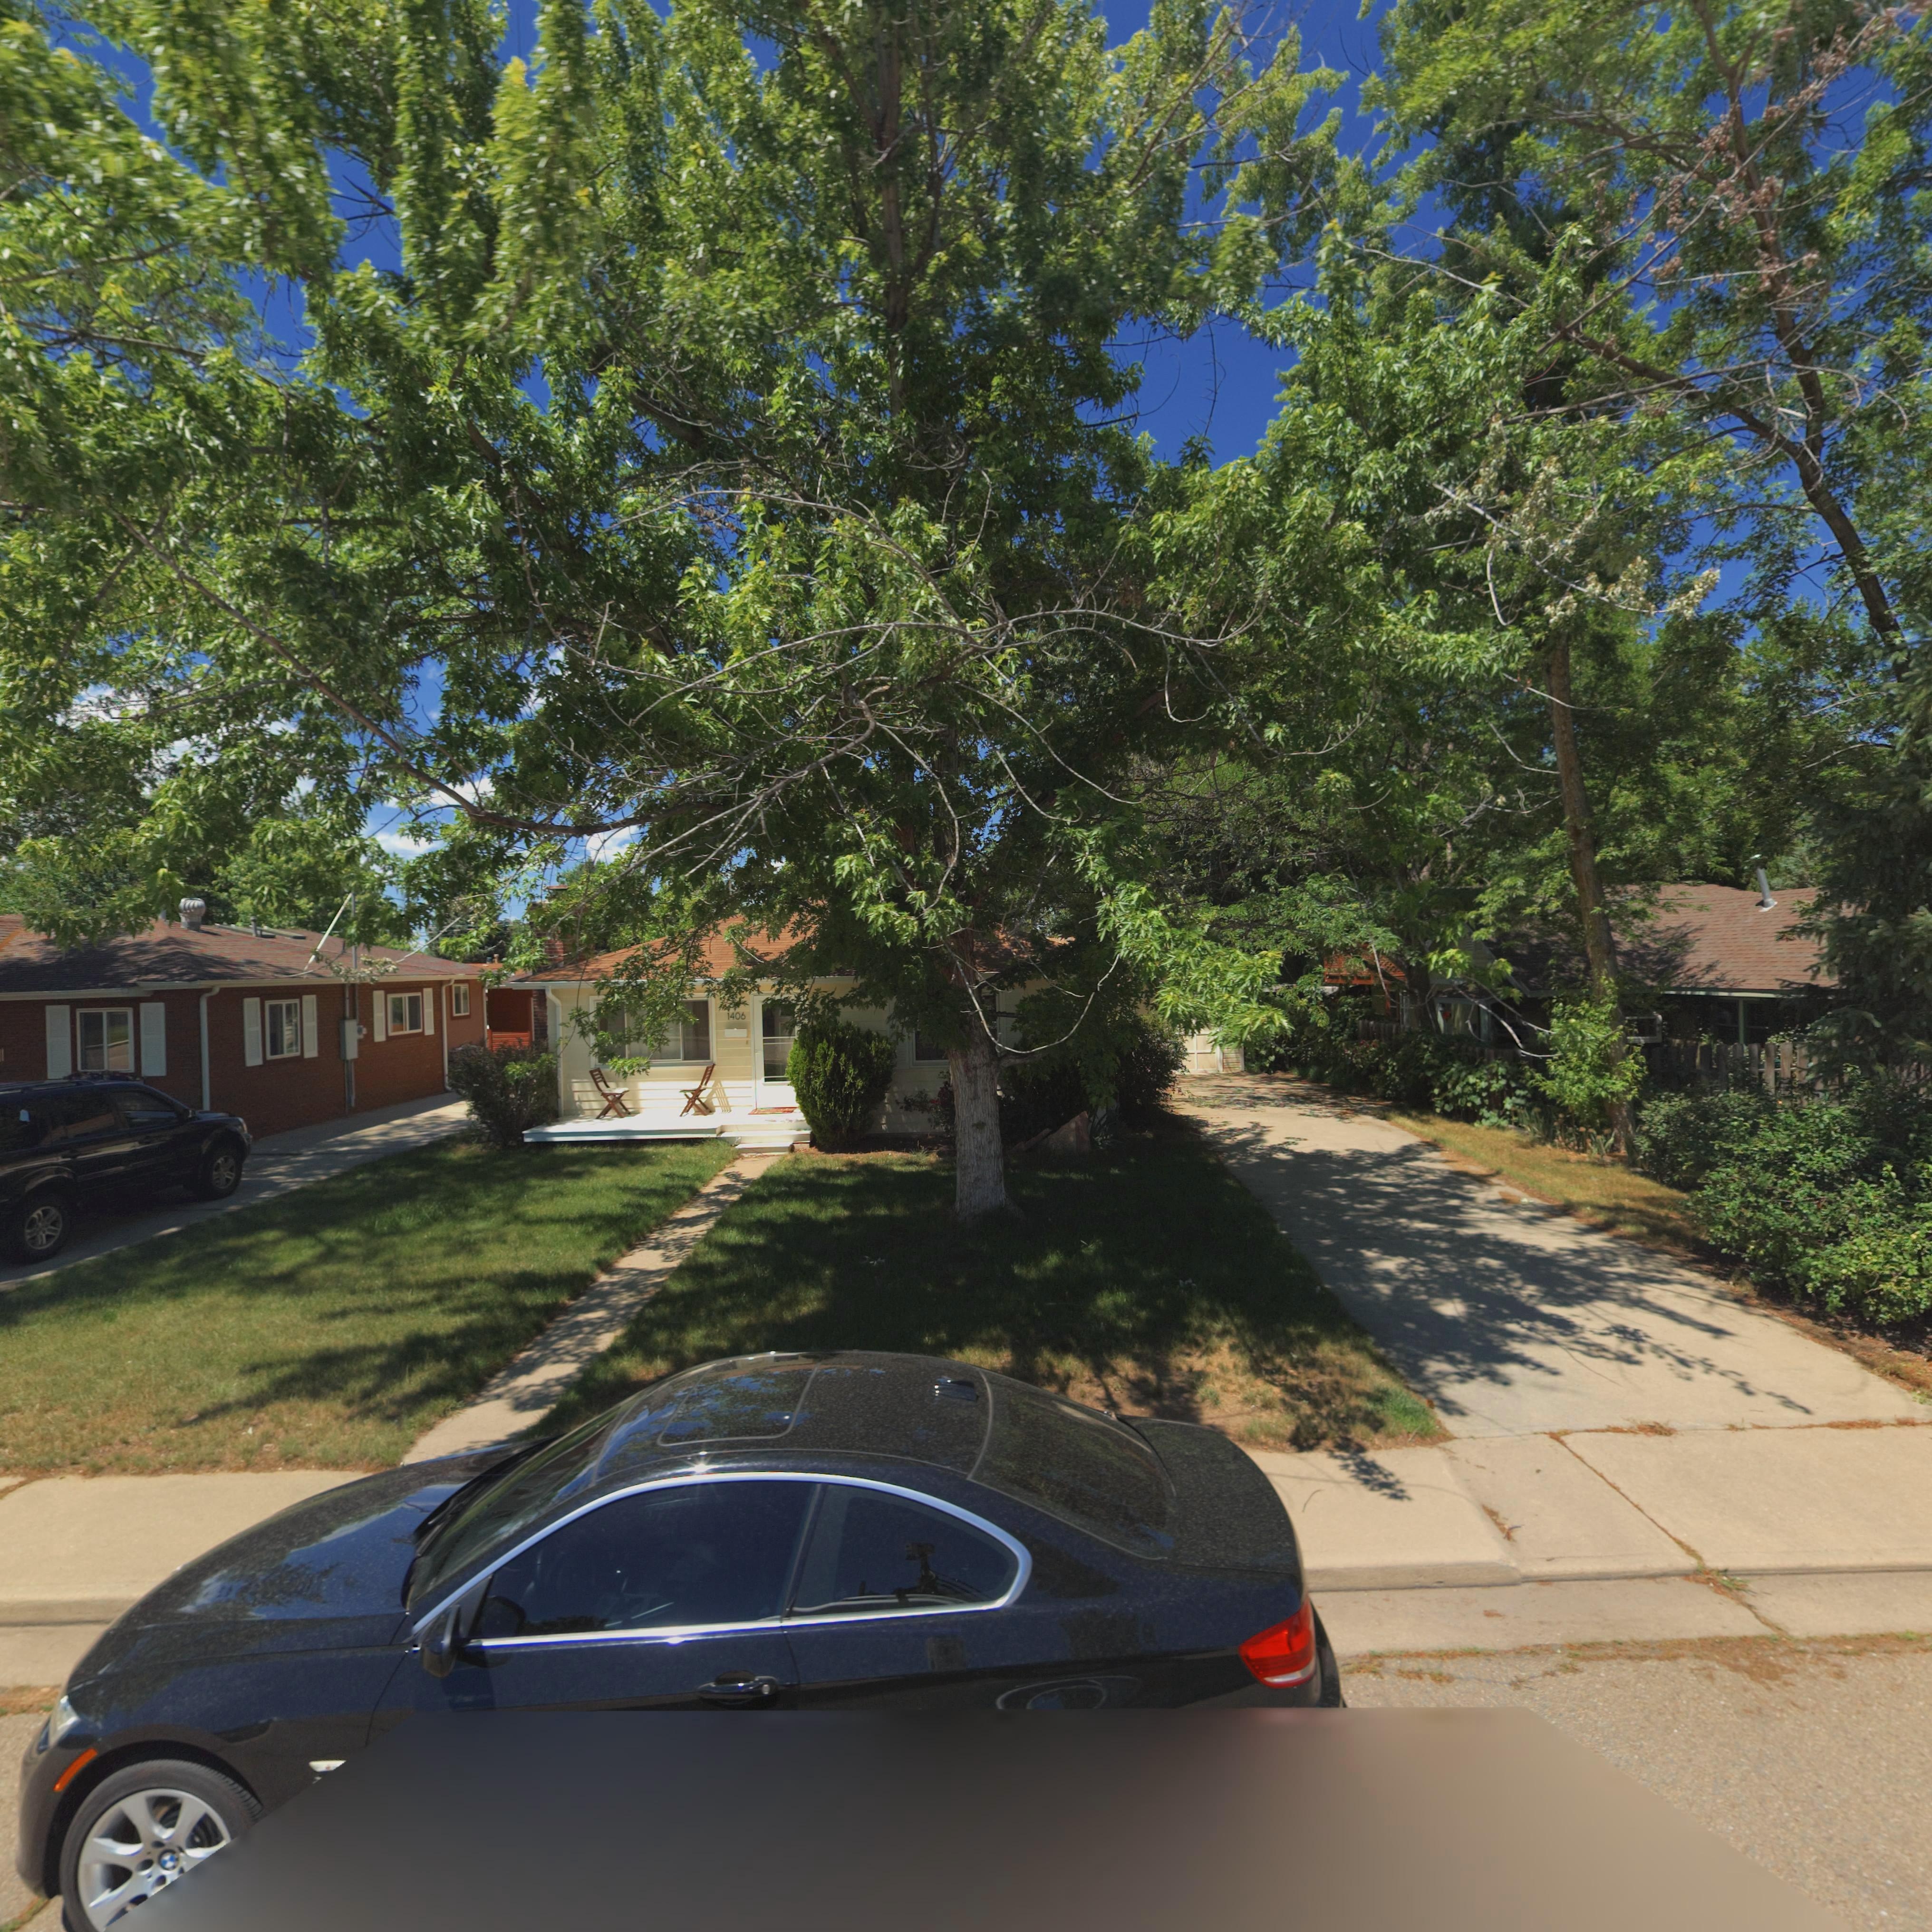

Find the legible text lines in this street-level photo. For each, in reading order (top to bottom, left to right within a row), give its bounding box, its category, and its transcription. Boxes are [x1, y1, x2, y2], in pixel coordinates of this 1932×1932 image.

[727, 1012, 746, 1020] StreetNumber: 1406